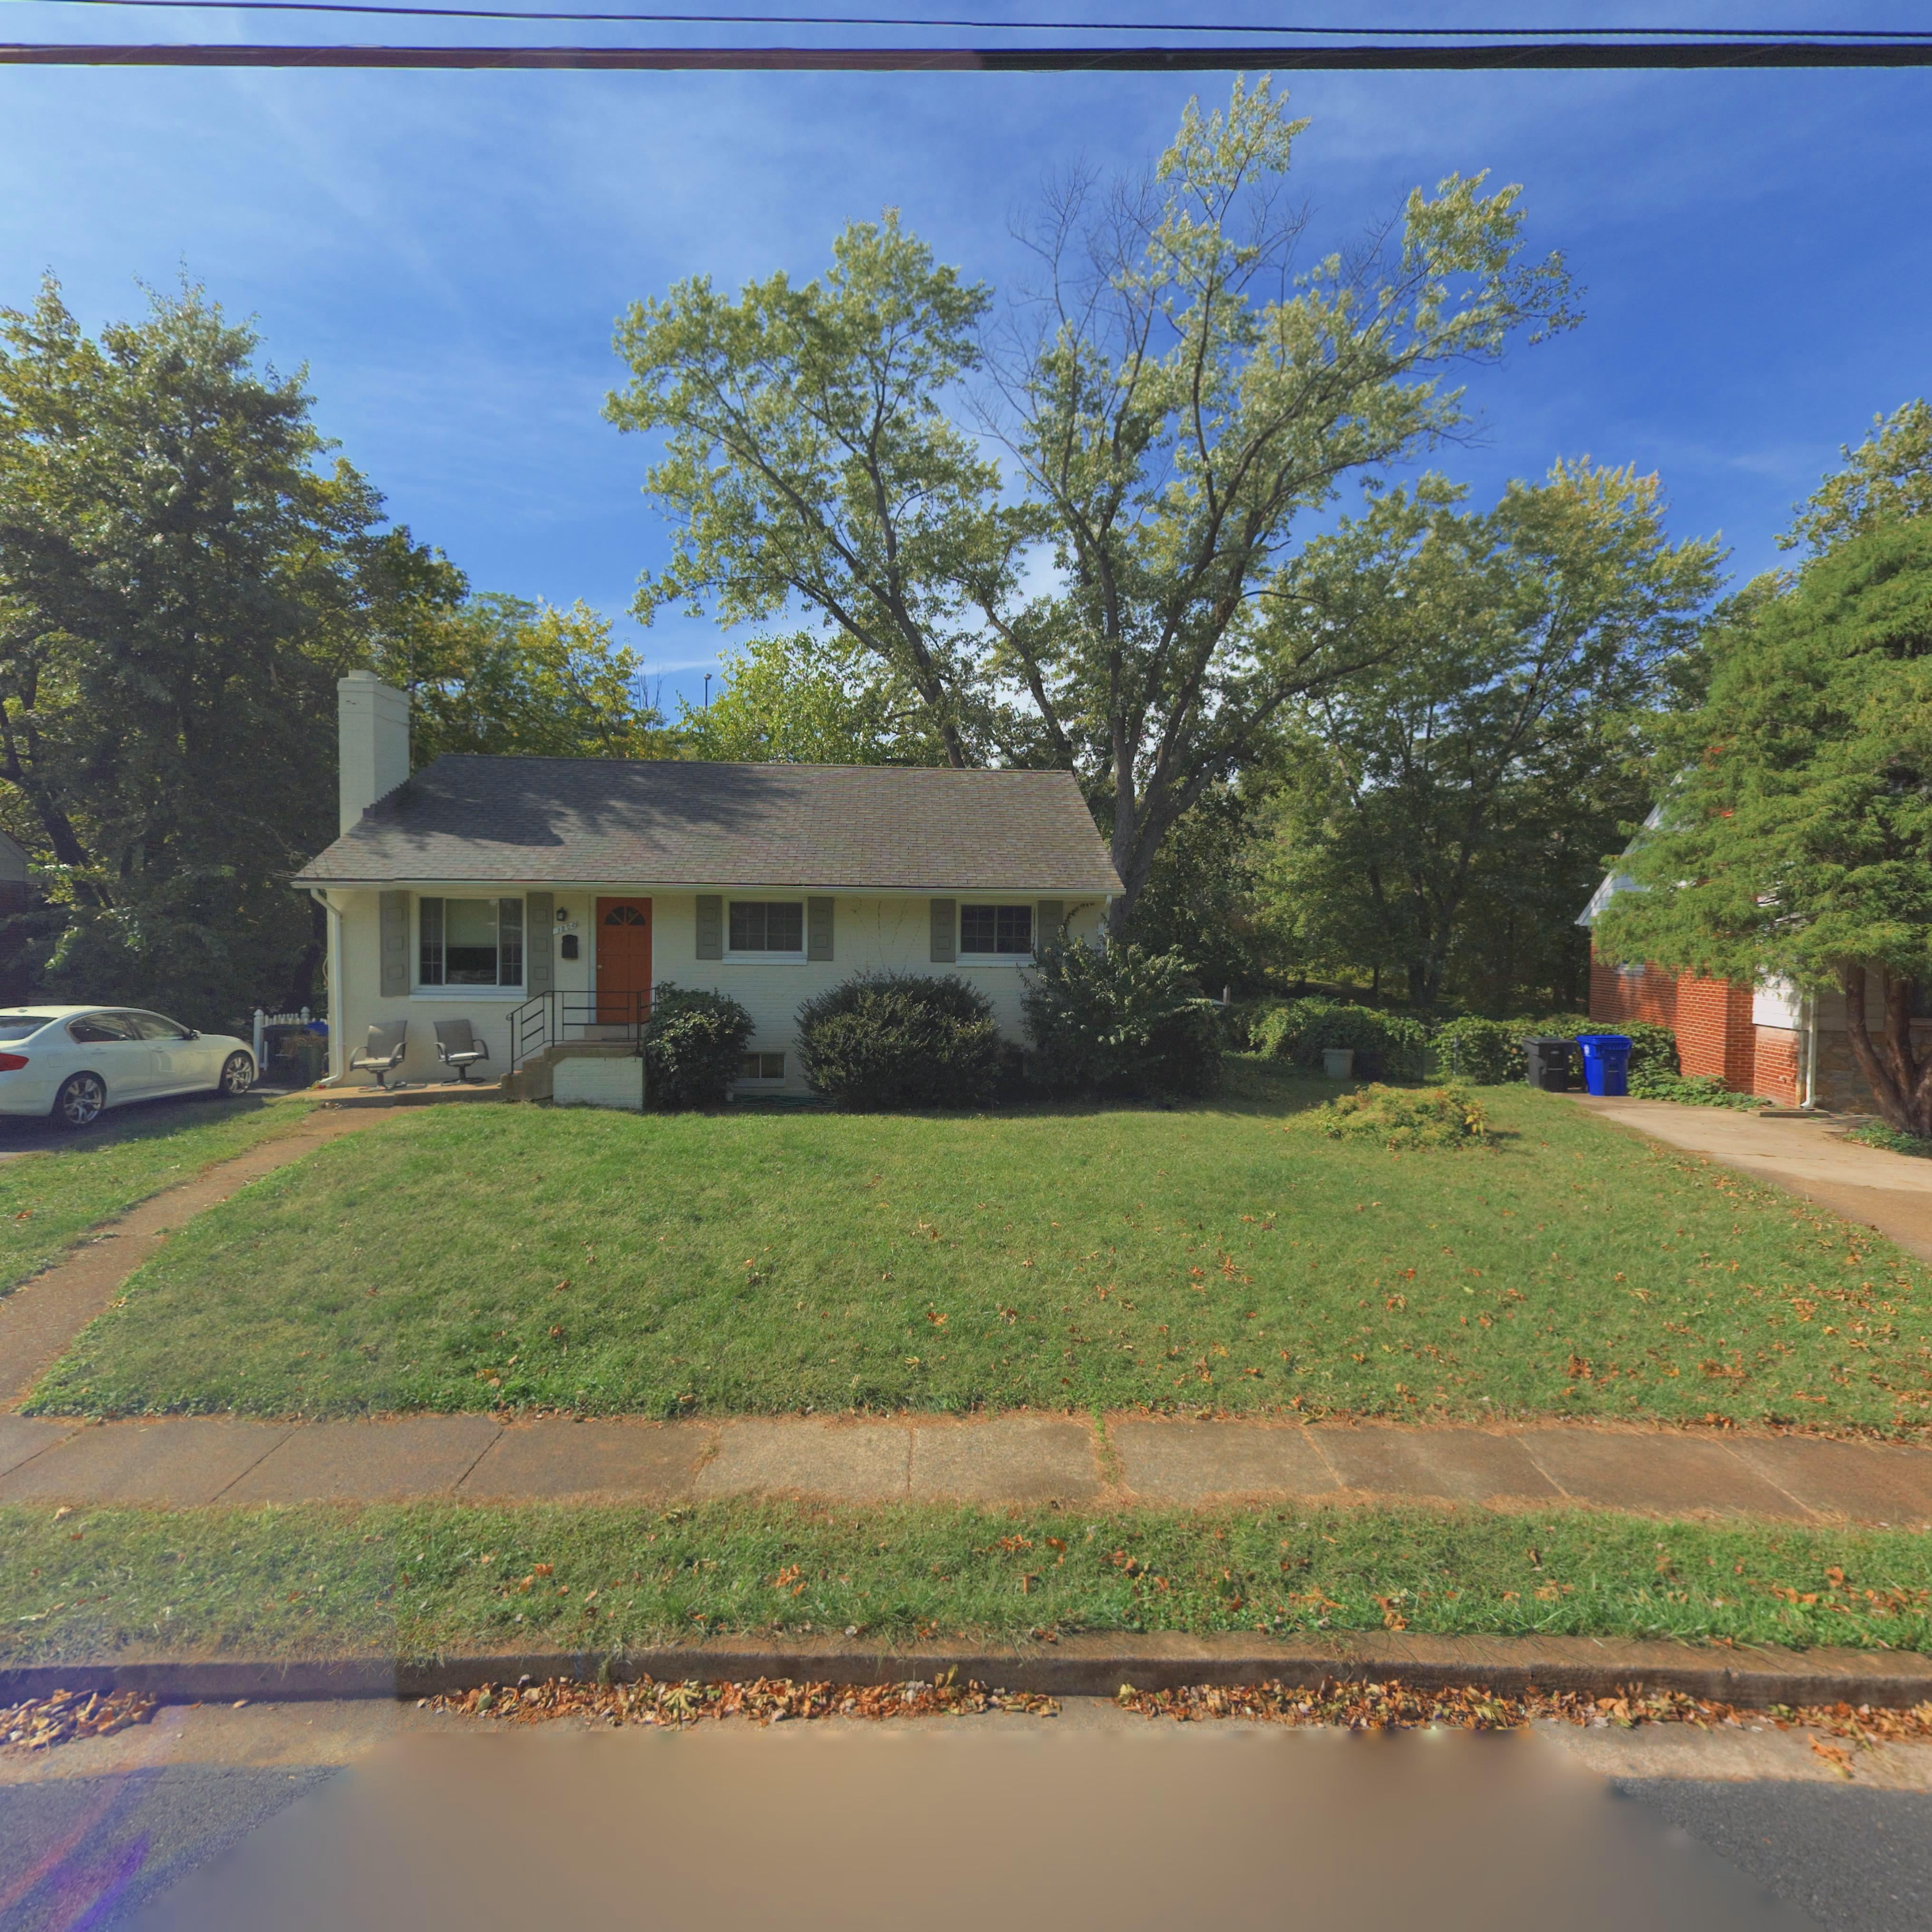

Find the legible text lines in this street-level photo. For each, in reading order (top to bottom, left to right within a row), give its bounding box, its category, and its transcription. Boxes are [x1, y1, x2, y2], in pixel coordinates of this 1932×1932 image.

[557, 921, 576, 934] StreetNumber: 1808